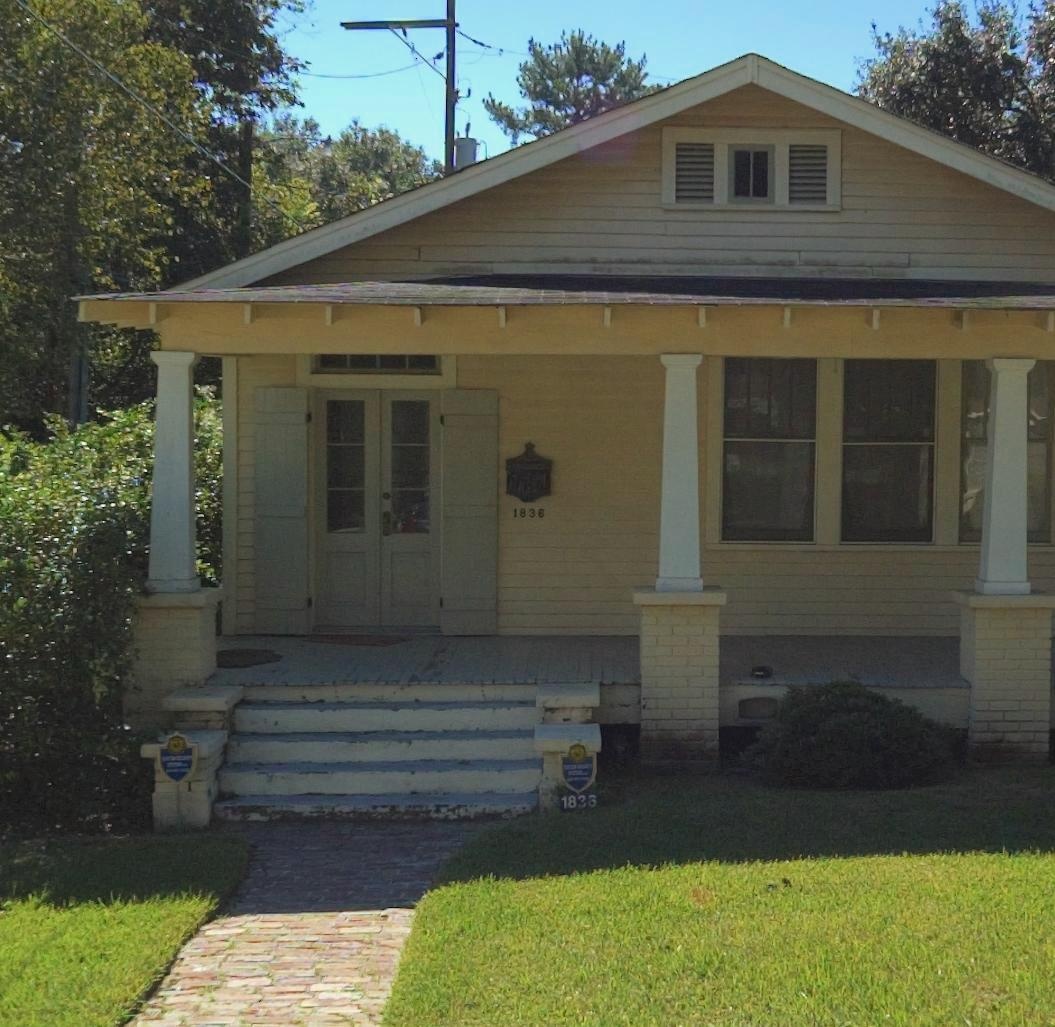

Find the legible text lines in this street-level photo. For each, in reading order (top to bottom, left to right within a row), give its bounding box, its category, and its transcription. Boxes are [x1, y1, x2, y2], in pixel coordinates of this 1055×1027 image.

[512, 506, 546, 520] StreetNumber: 1836
[558, 793, 599, 812] StreetNumber: 18*3